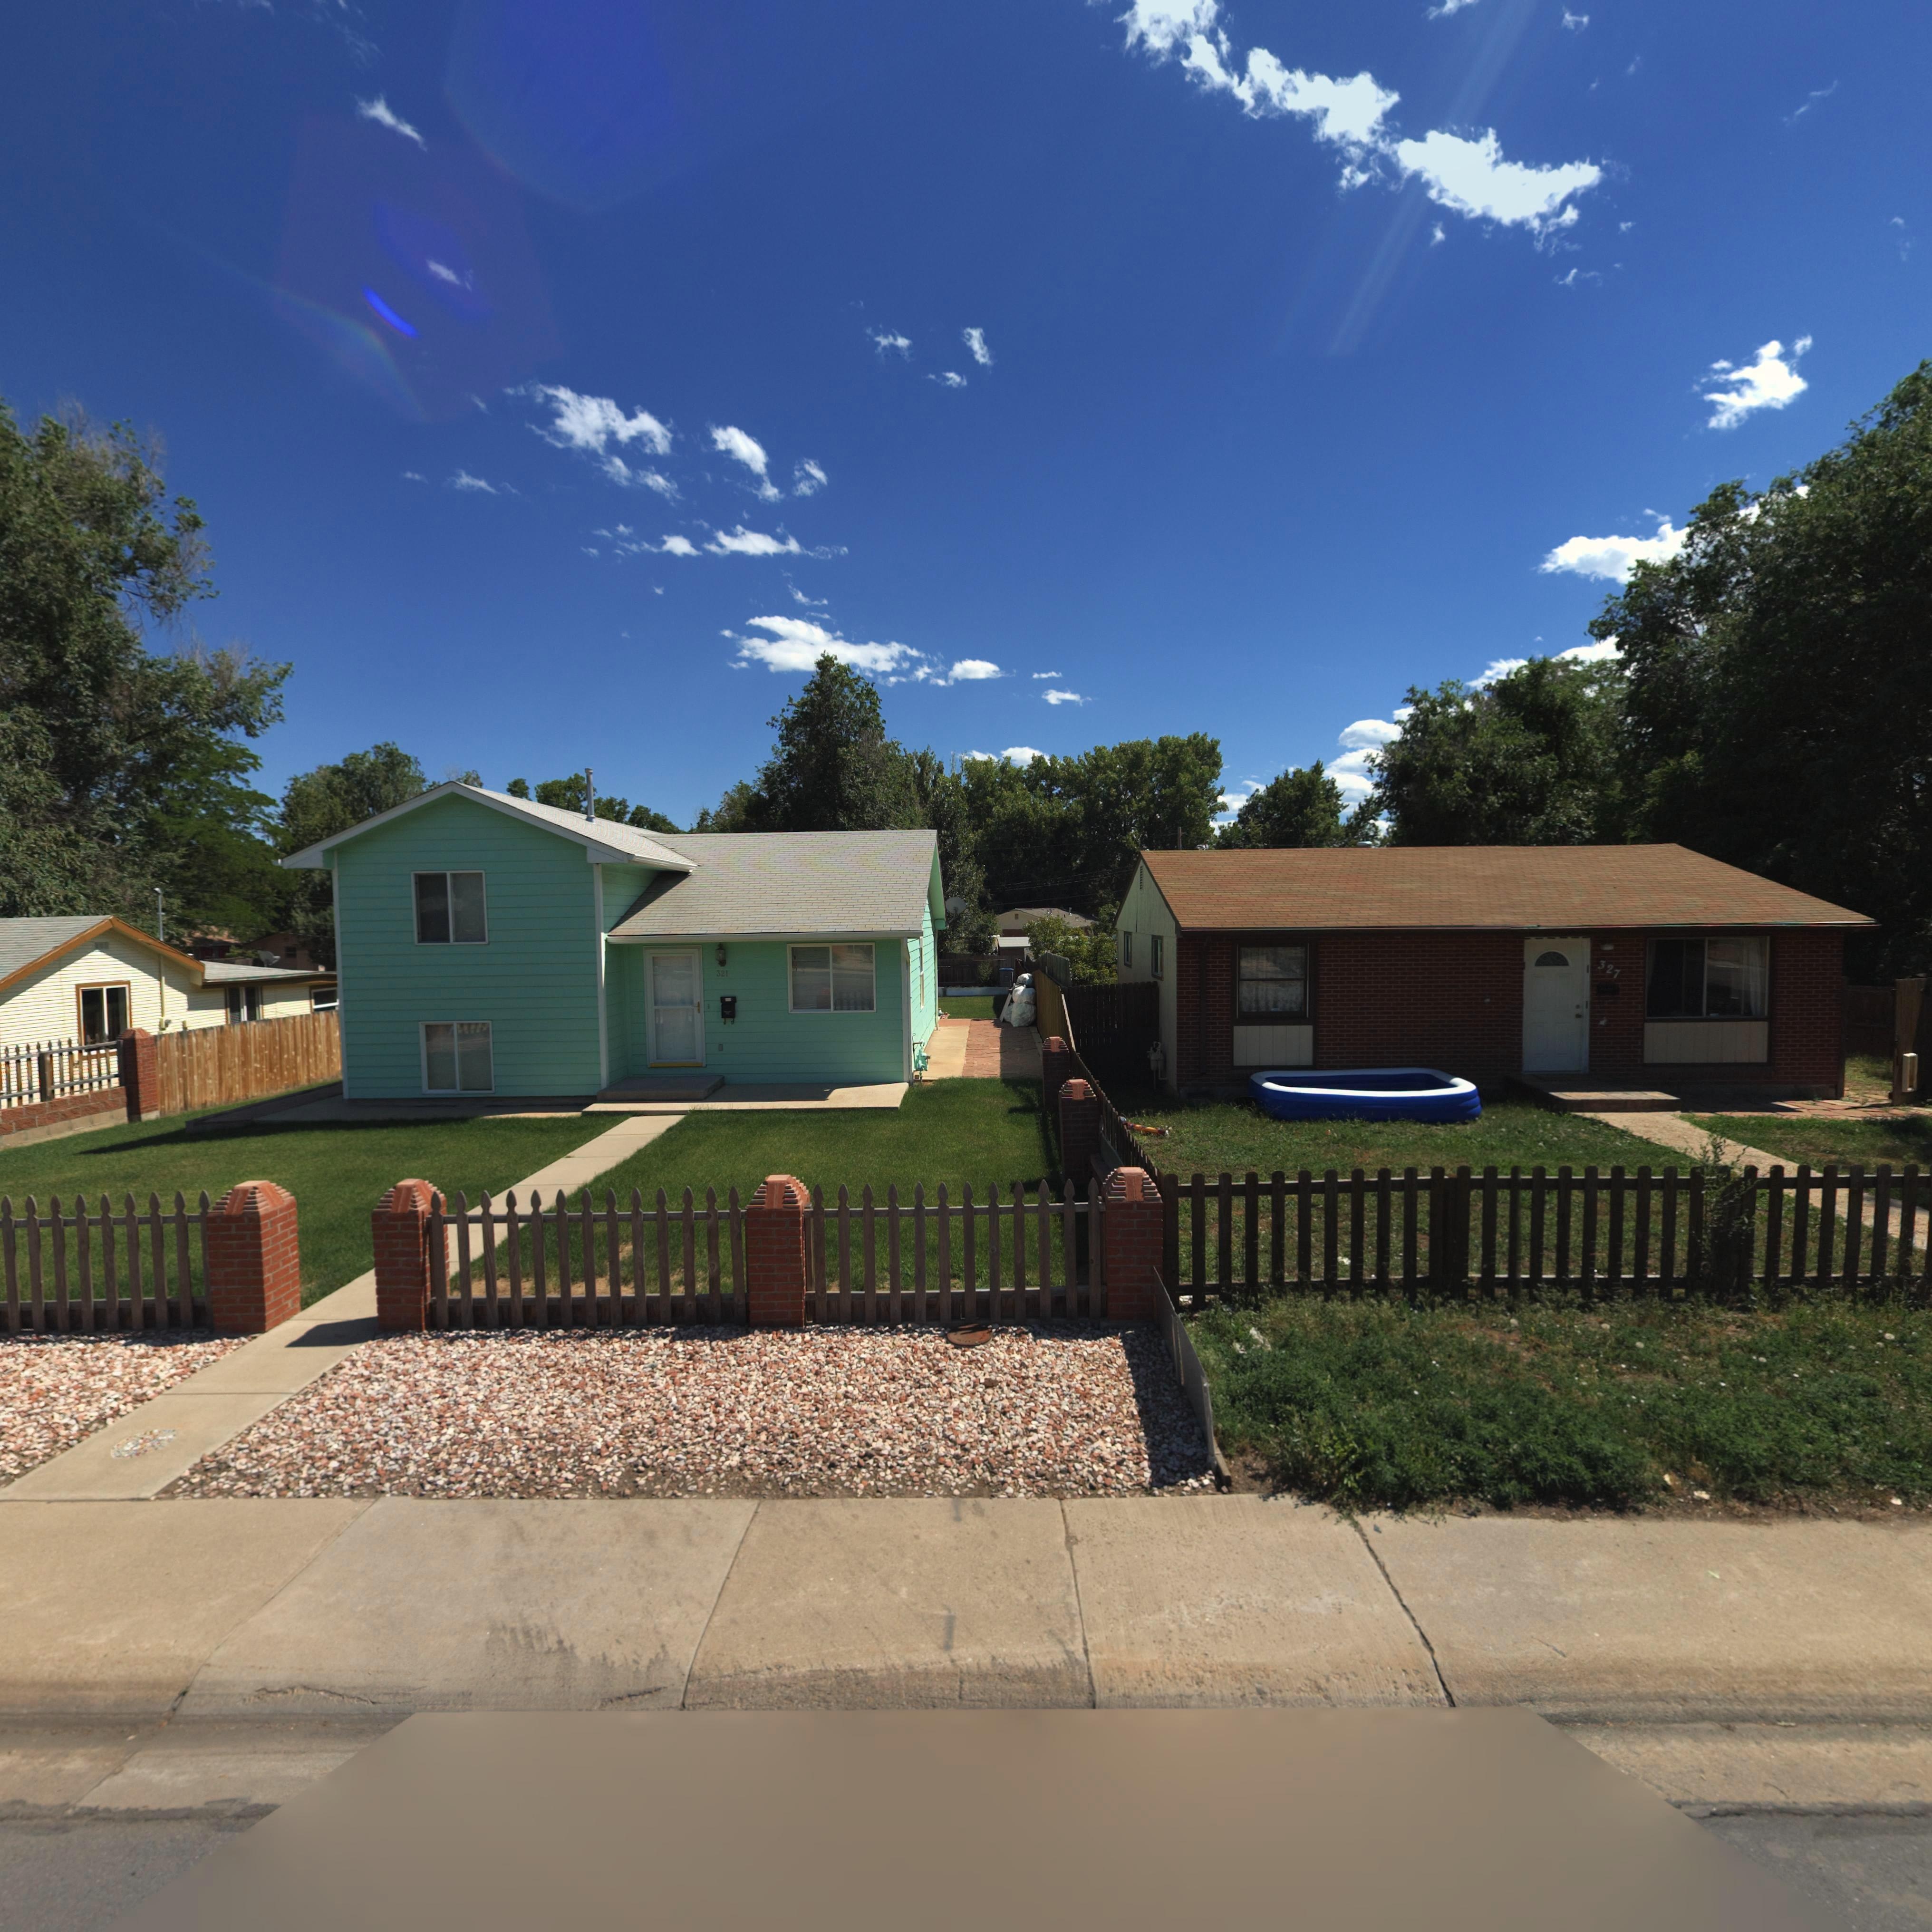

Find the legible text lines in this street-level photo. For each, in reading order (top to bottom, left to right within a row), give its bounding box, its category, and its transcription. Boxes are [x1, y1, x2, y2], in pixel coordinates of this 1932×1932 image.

[716, 970, 727, 977] StreetNumber: 321
[1596, 960, 1621, 978] StreetNumber: 327